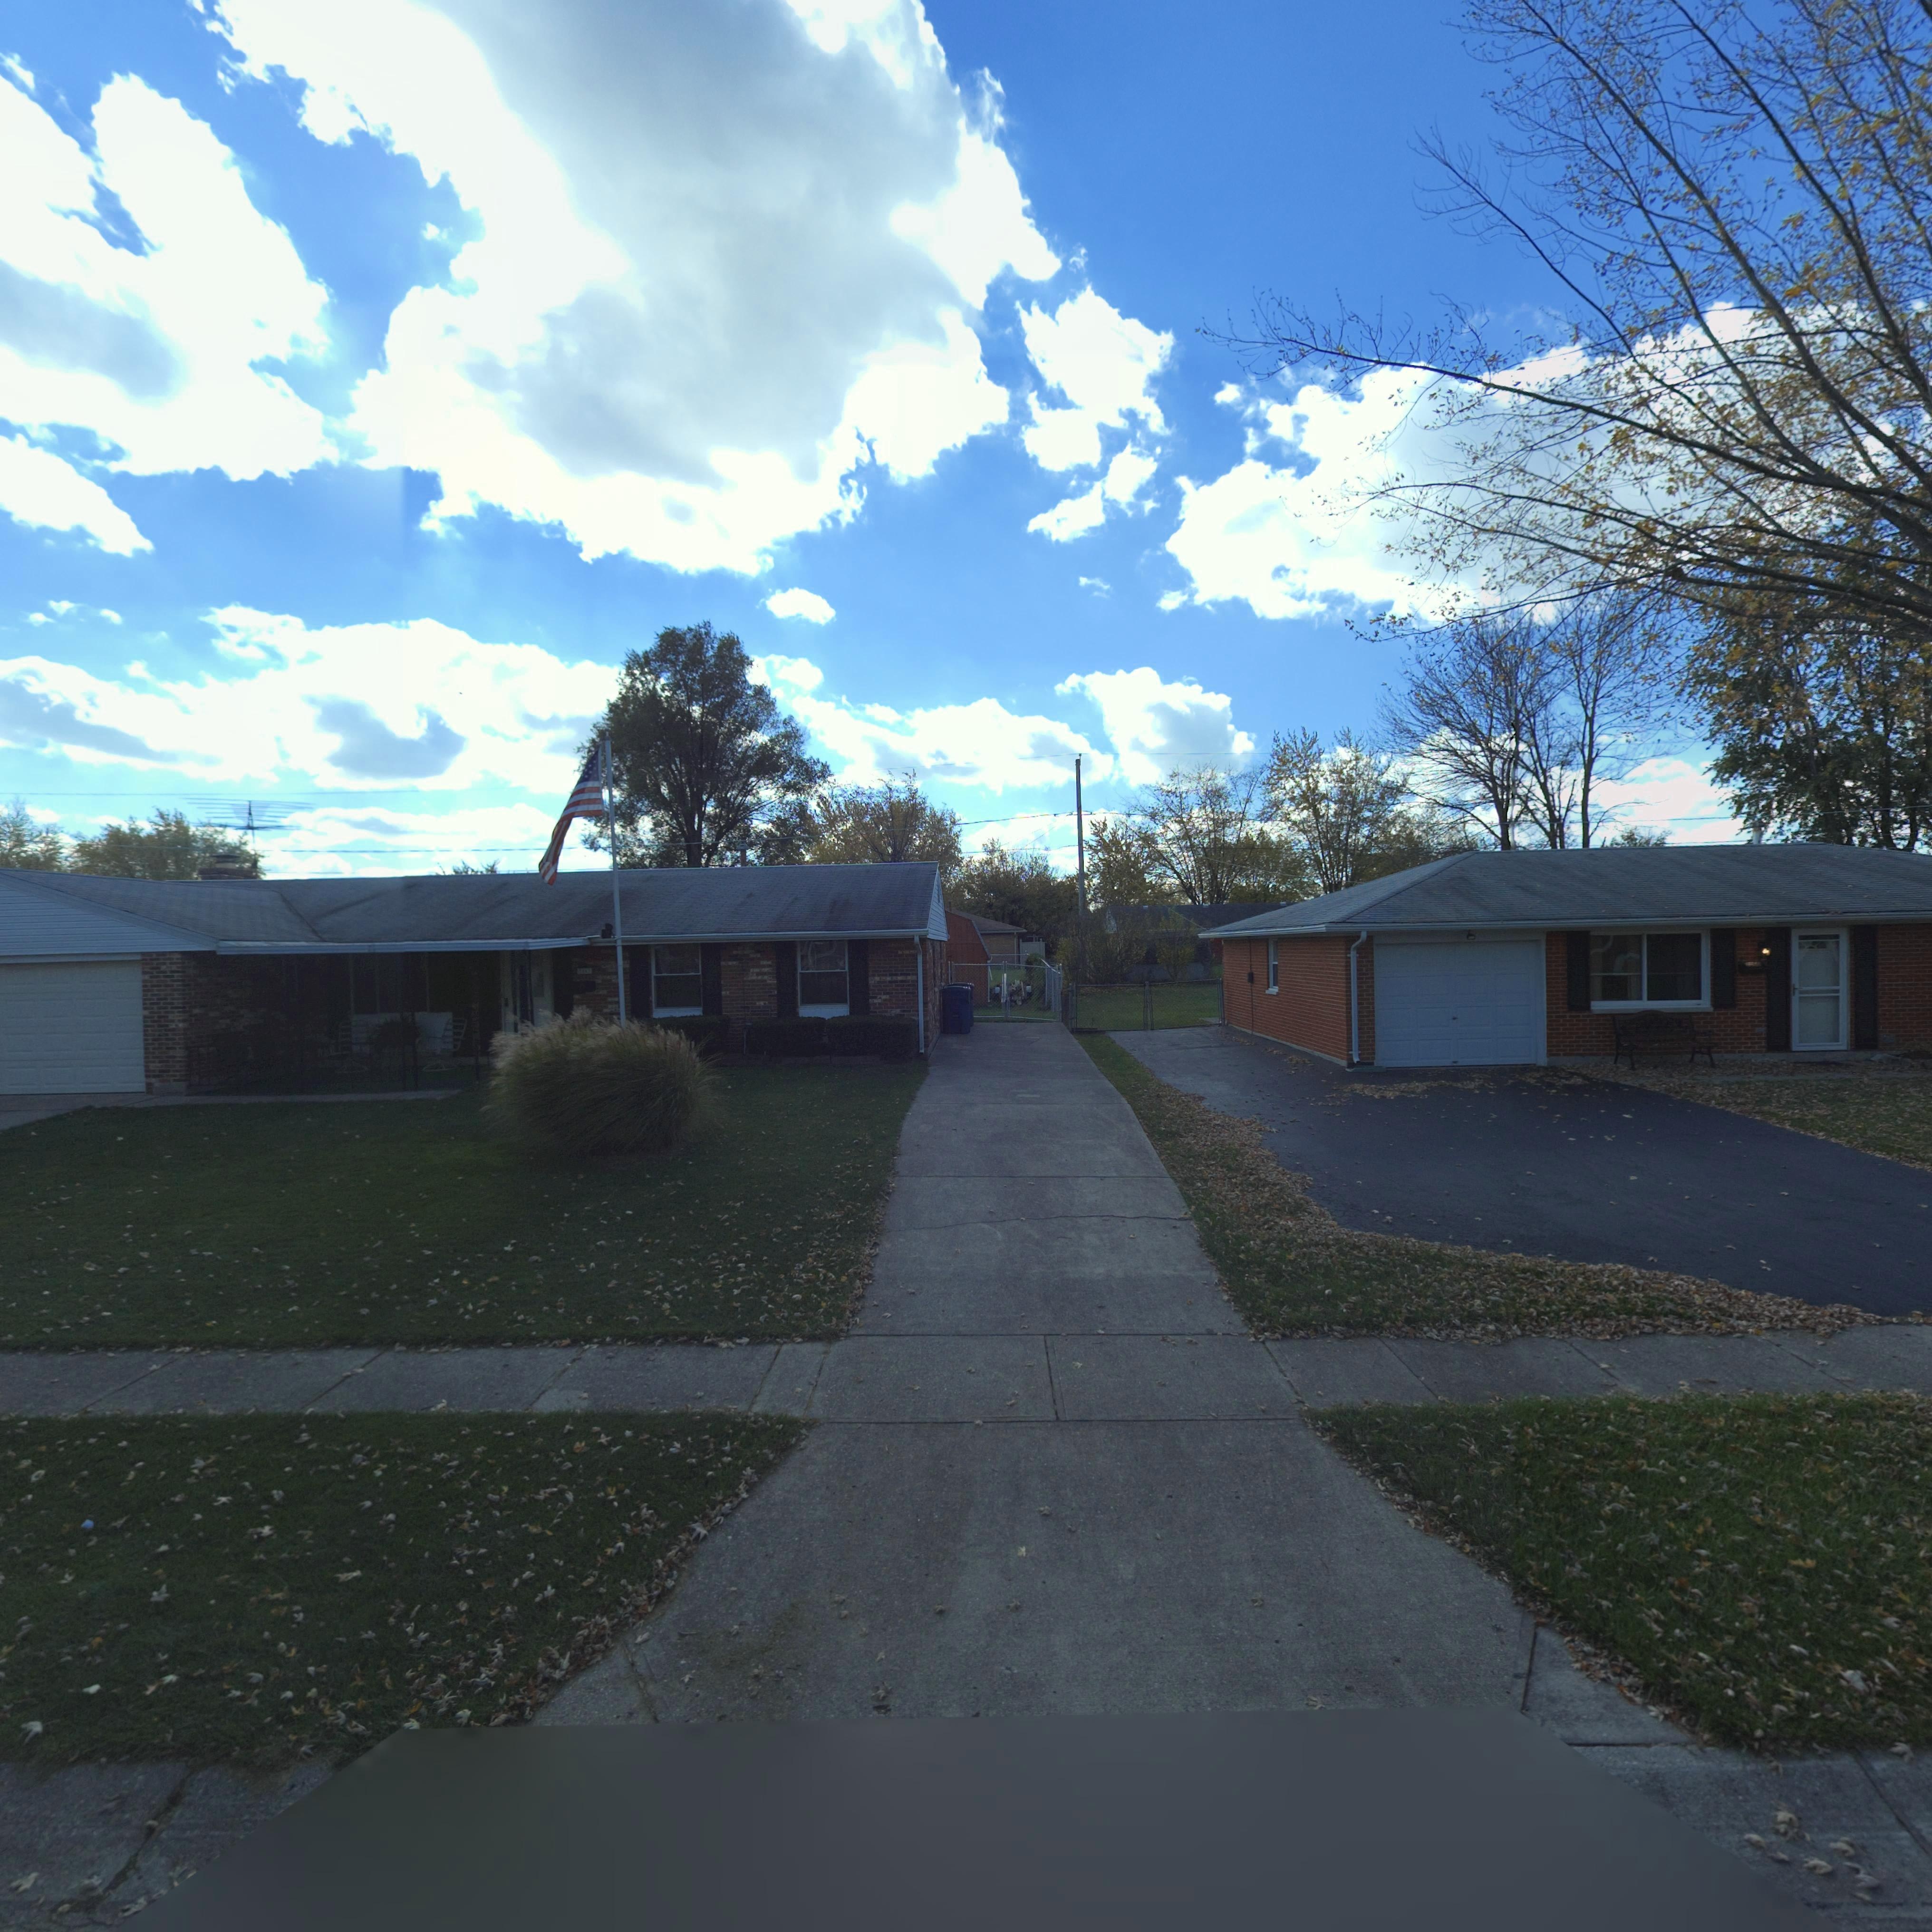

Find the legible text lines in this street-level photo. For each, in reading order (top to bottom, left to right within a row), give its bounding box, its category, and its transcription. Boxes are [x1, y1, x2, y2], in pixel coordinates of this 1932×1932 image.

[1746, 961, 1761, 967] StreetNumber: **50
[578, 968, 591, 974] StreetNumber: *8**